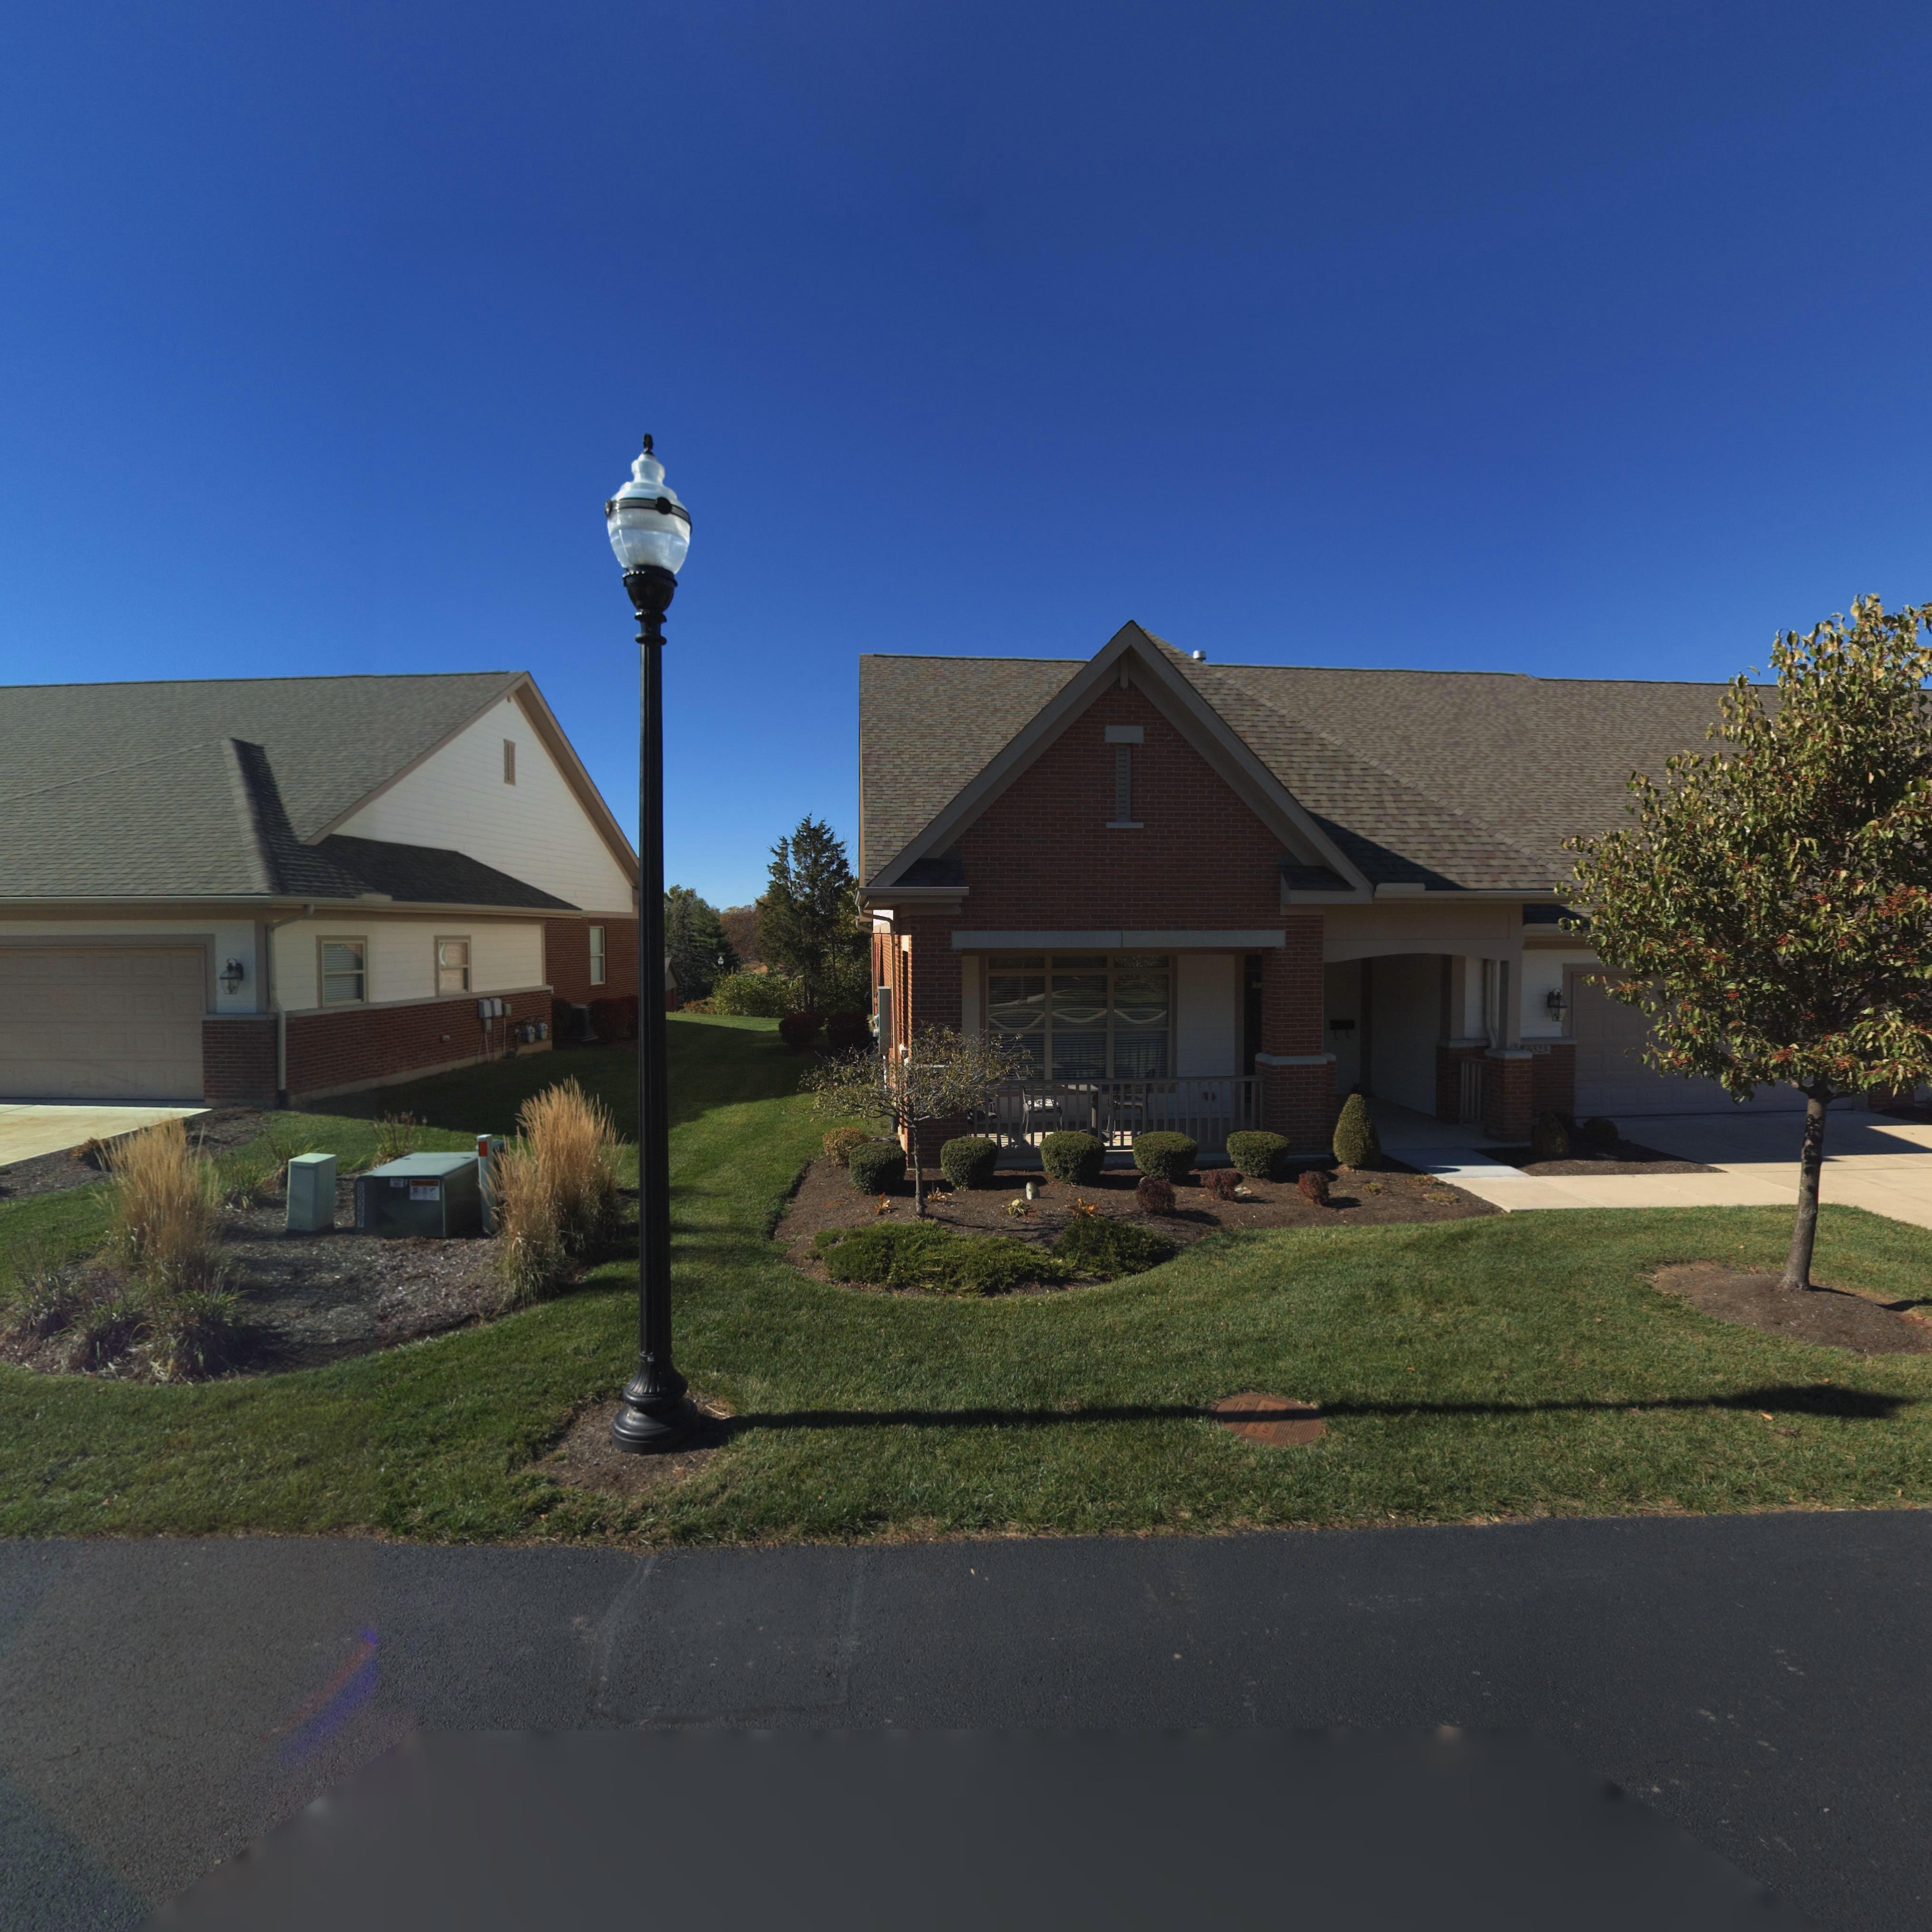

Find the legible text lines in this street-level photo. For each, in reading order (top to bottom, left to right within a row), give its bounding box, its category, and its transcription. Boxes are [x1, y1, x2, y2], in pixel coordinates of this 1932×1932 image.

[1532, 1045, 1548, 1053] StreetNumber: 523